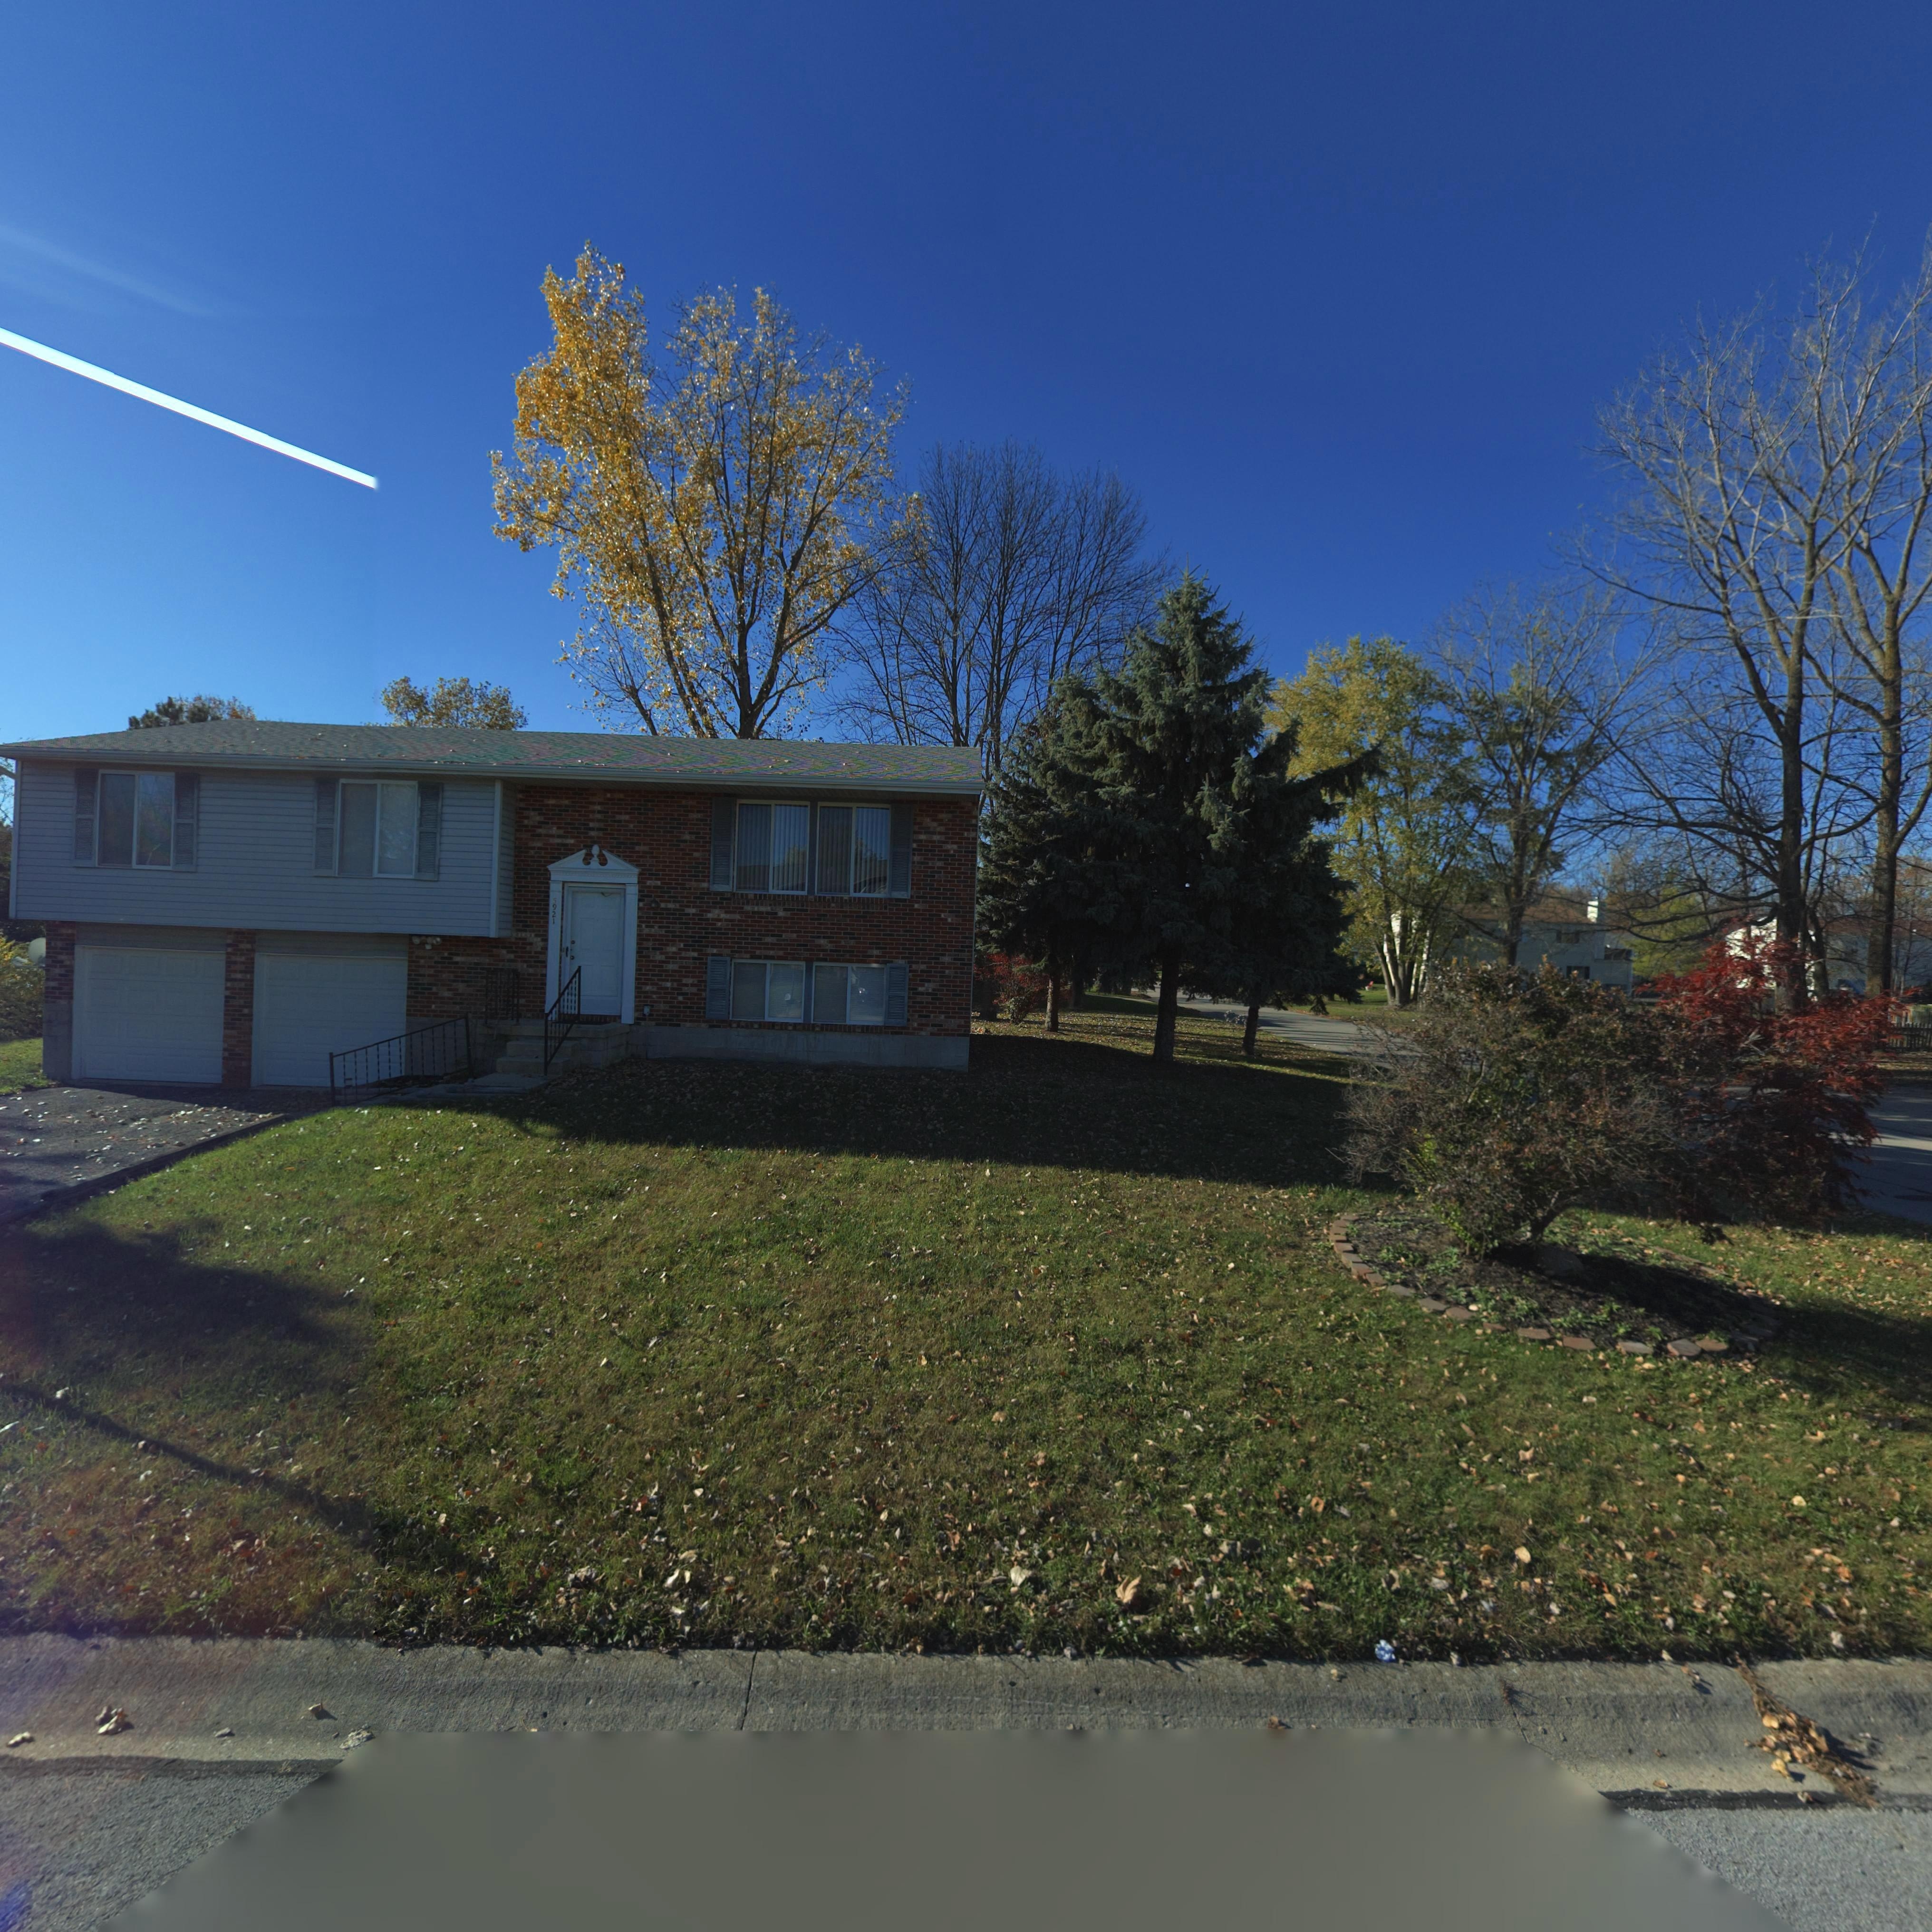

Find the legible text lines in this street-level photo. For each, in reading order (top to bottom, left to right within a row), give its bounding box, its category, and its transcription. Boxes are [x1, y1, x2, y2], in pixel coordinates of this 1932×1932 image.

[551, 897, 558, 926] StreetNumber: 5921